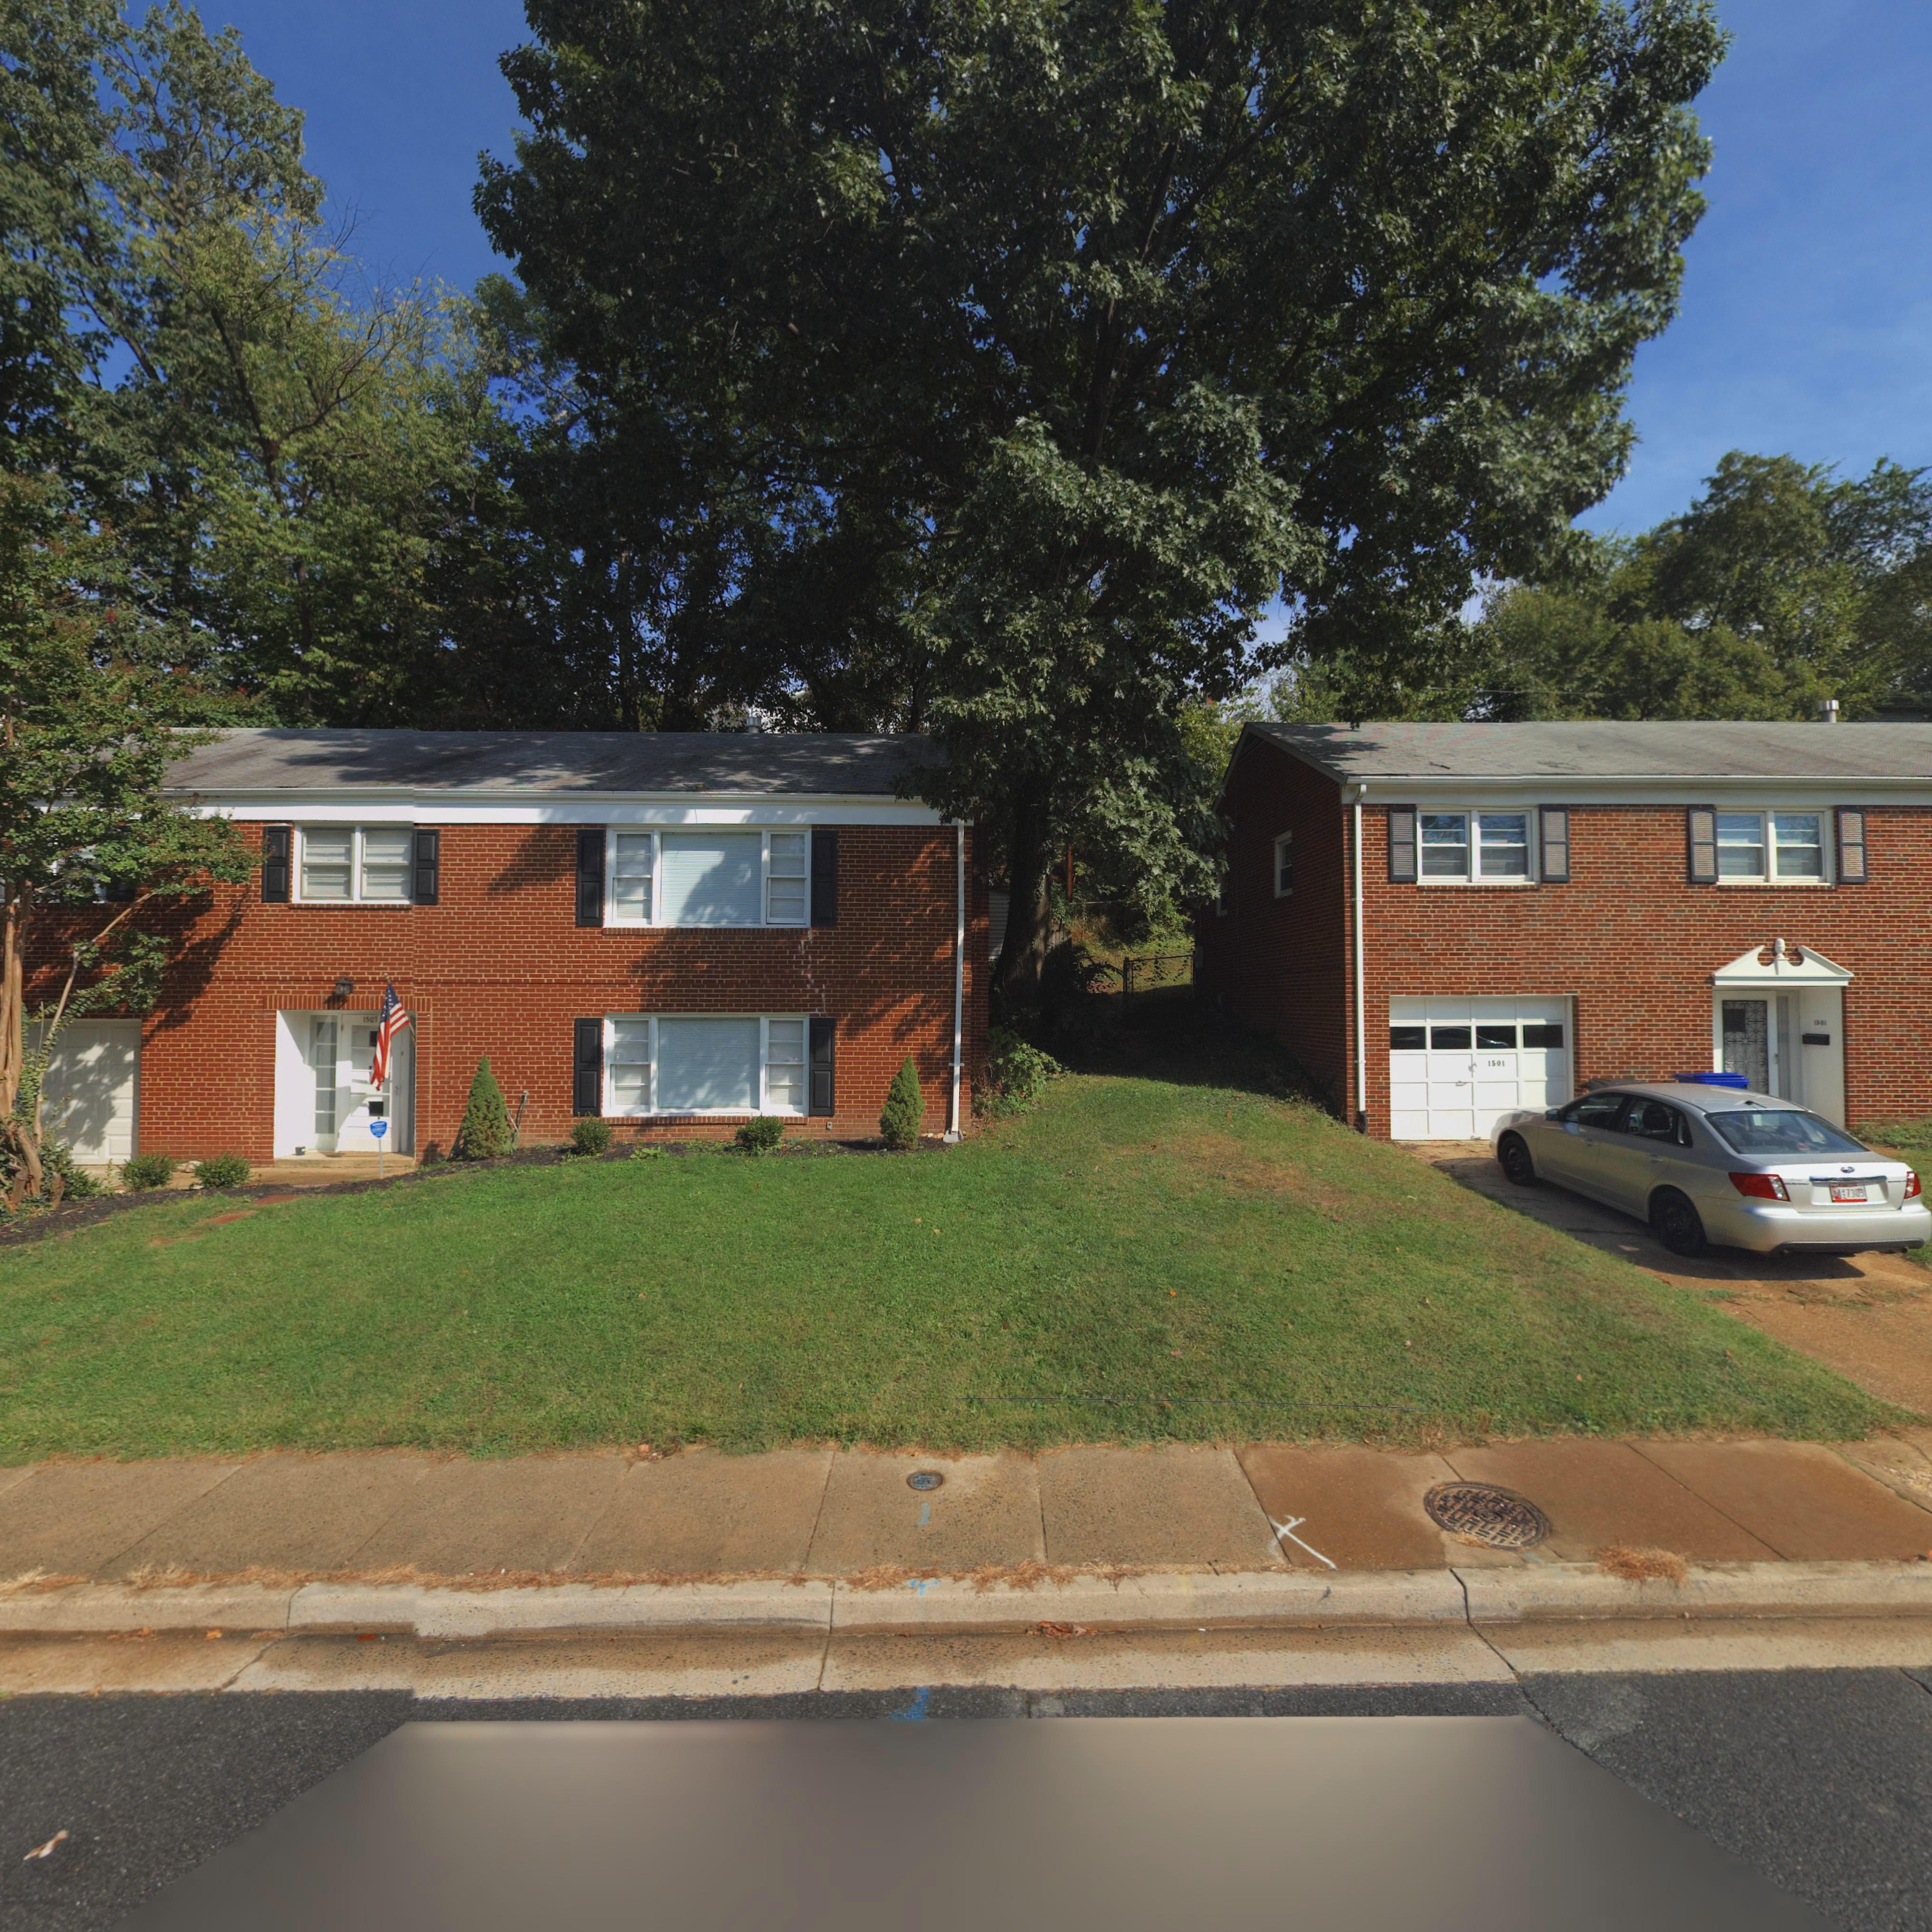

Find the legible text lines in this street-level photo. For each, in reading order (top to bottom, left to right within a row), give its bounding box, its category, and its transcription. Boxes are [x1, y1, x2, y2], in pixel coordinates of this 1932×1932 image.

[362, 1015, 379, 1024] StreetNumber: 150*
[1813, 1019, 1827, 1026] StreetNumber: 1*01
[1487, 1059, 1506, 1068] StreetNumber: 1501
[1845, 1188, 1856, 1198] None: 73